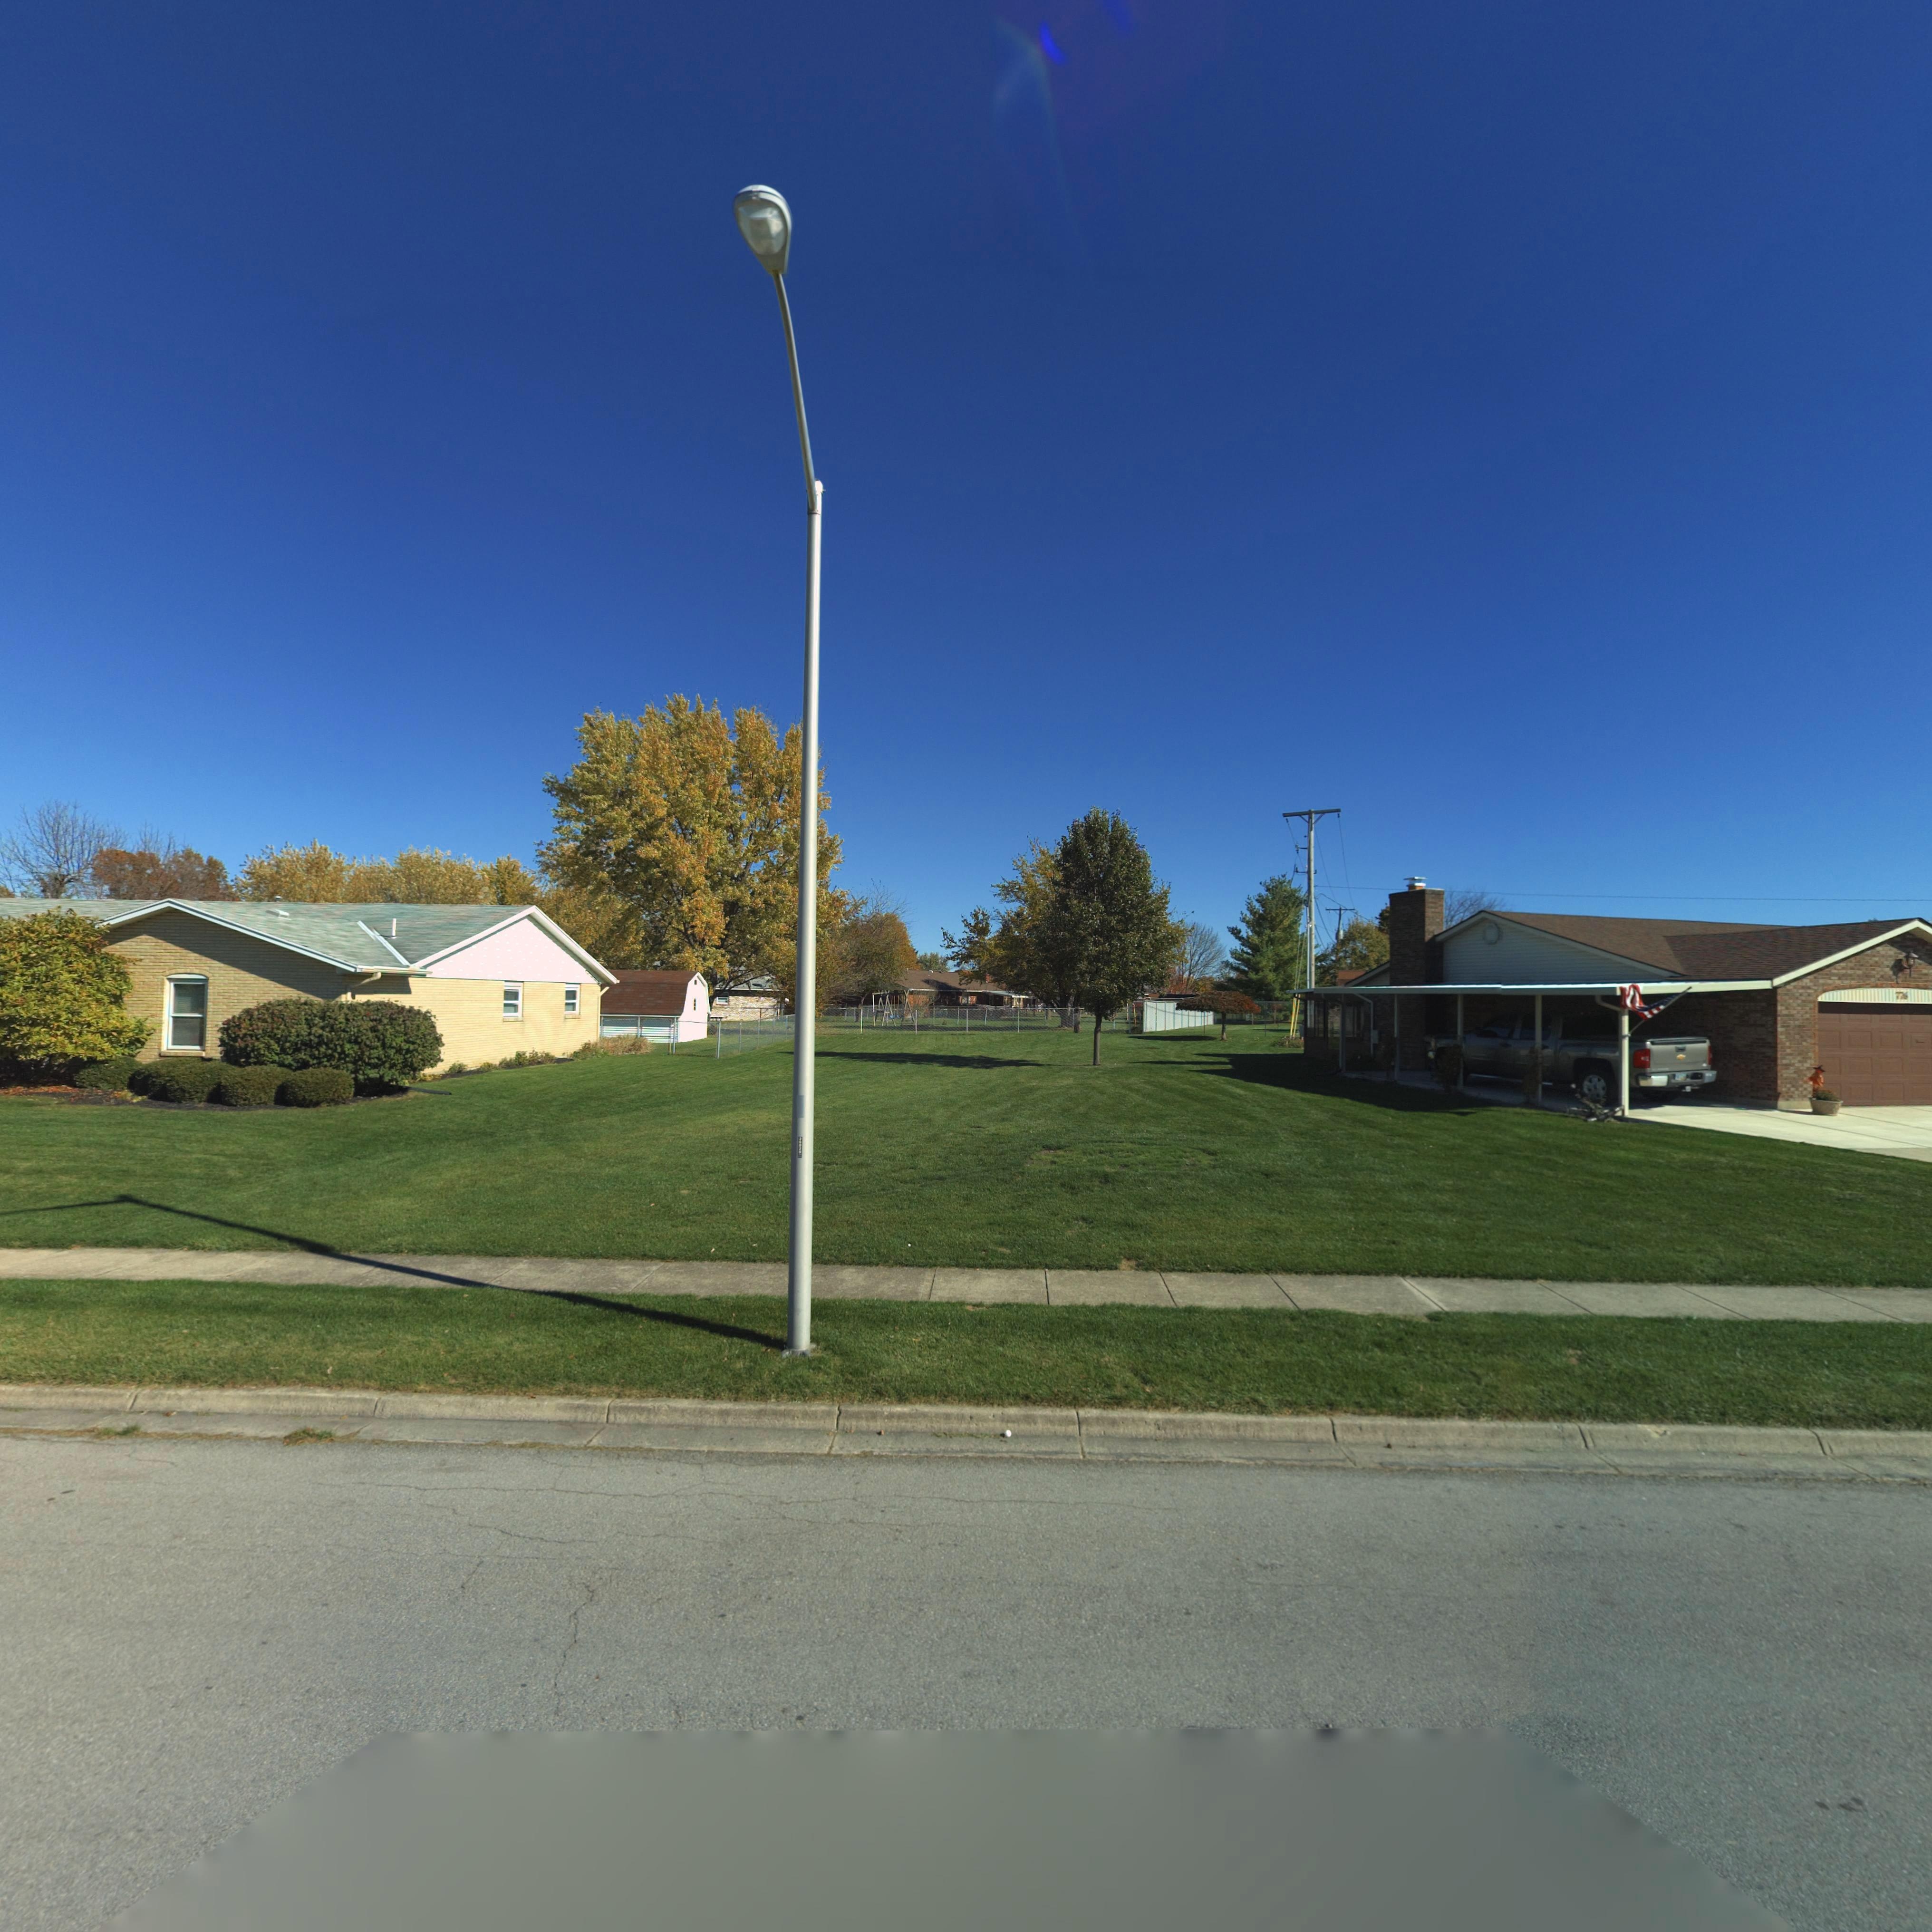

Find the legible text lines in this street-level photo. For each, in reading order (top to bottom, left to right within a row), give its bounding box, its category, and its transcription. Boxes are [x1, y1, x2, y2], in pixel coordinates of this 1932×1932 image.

[1895, 991, 1908, 999] StreetNumber: 776